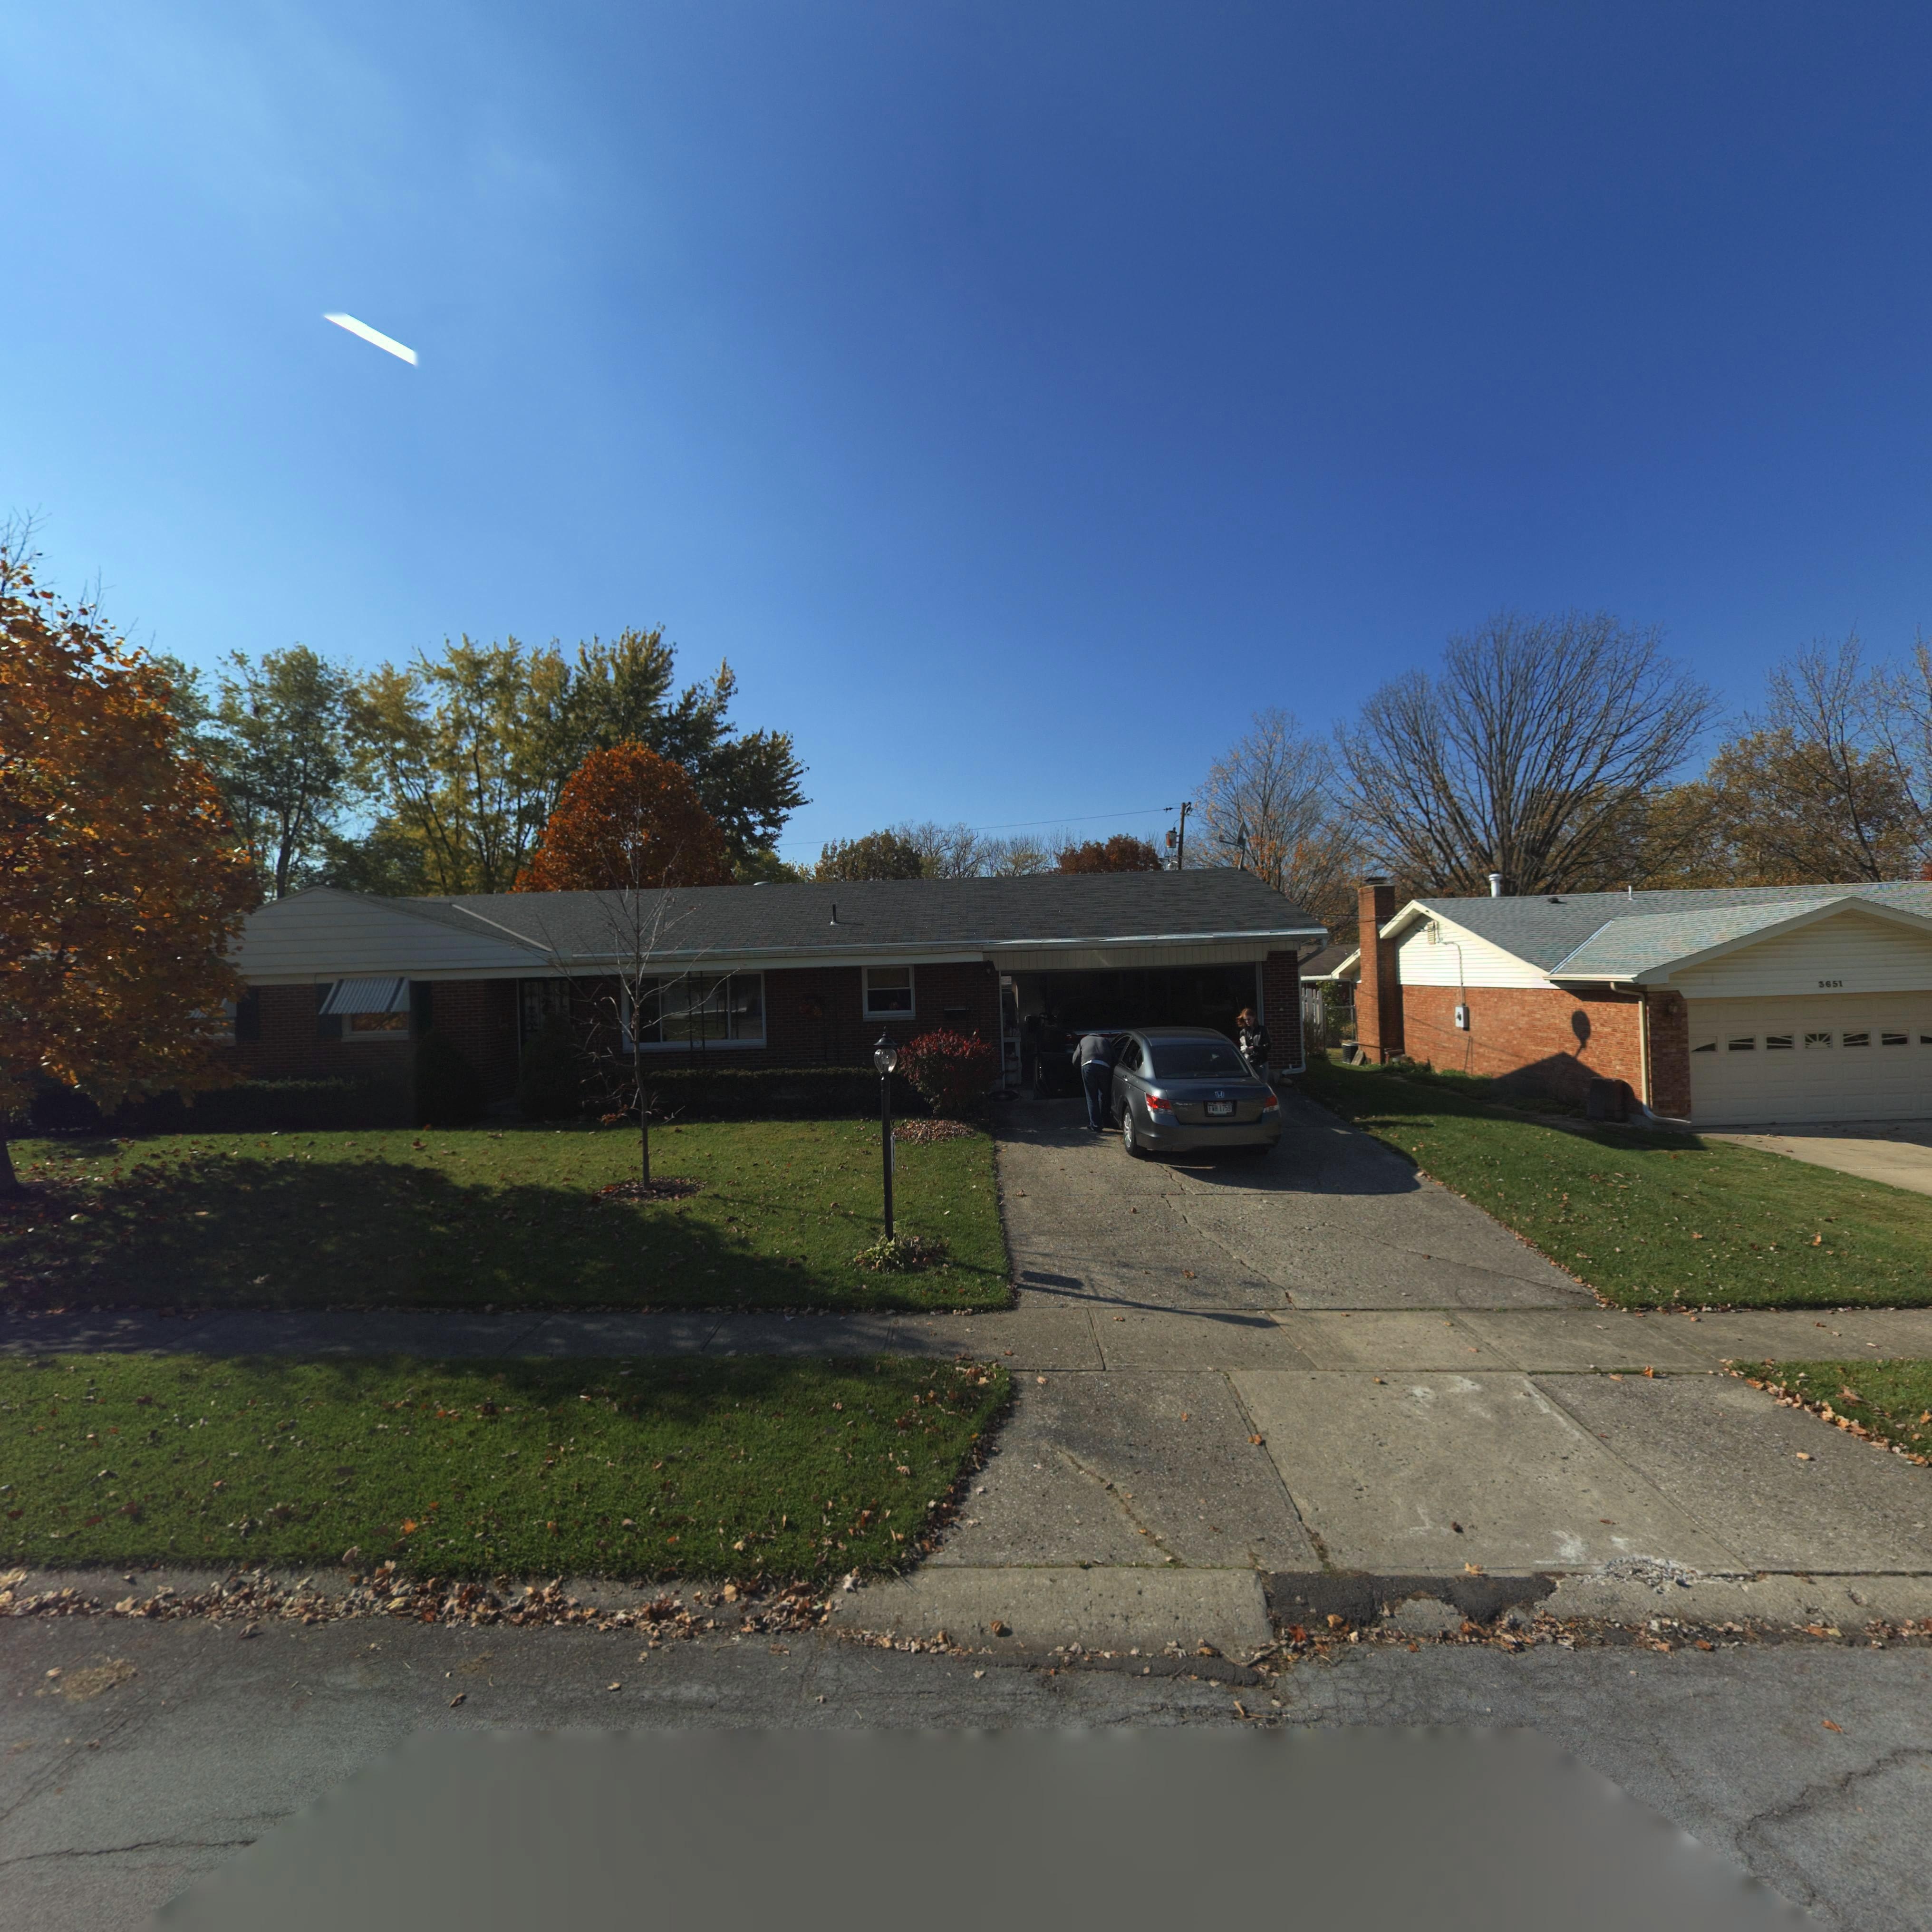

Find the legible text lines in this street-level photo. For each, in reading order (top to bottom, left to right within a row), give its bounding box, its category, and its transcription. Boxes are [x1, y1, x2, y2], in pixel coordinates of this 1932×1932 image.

[1817, 979, 1844, 989] StreetNumber: 3651
[1217, 1091, 1223, 1098] None: H
[1208, 1104, 1231, 1112] None: F*H 1758